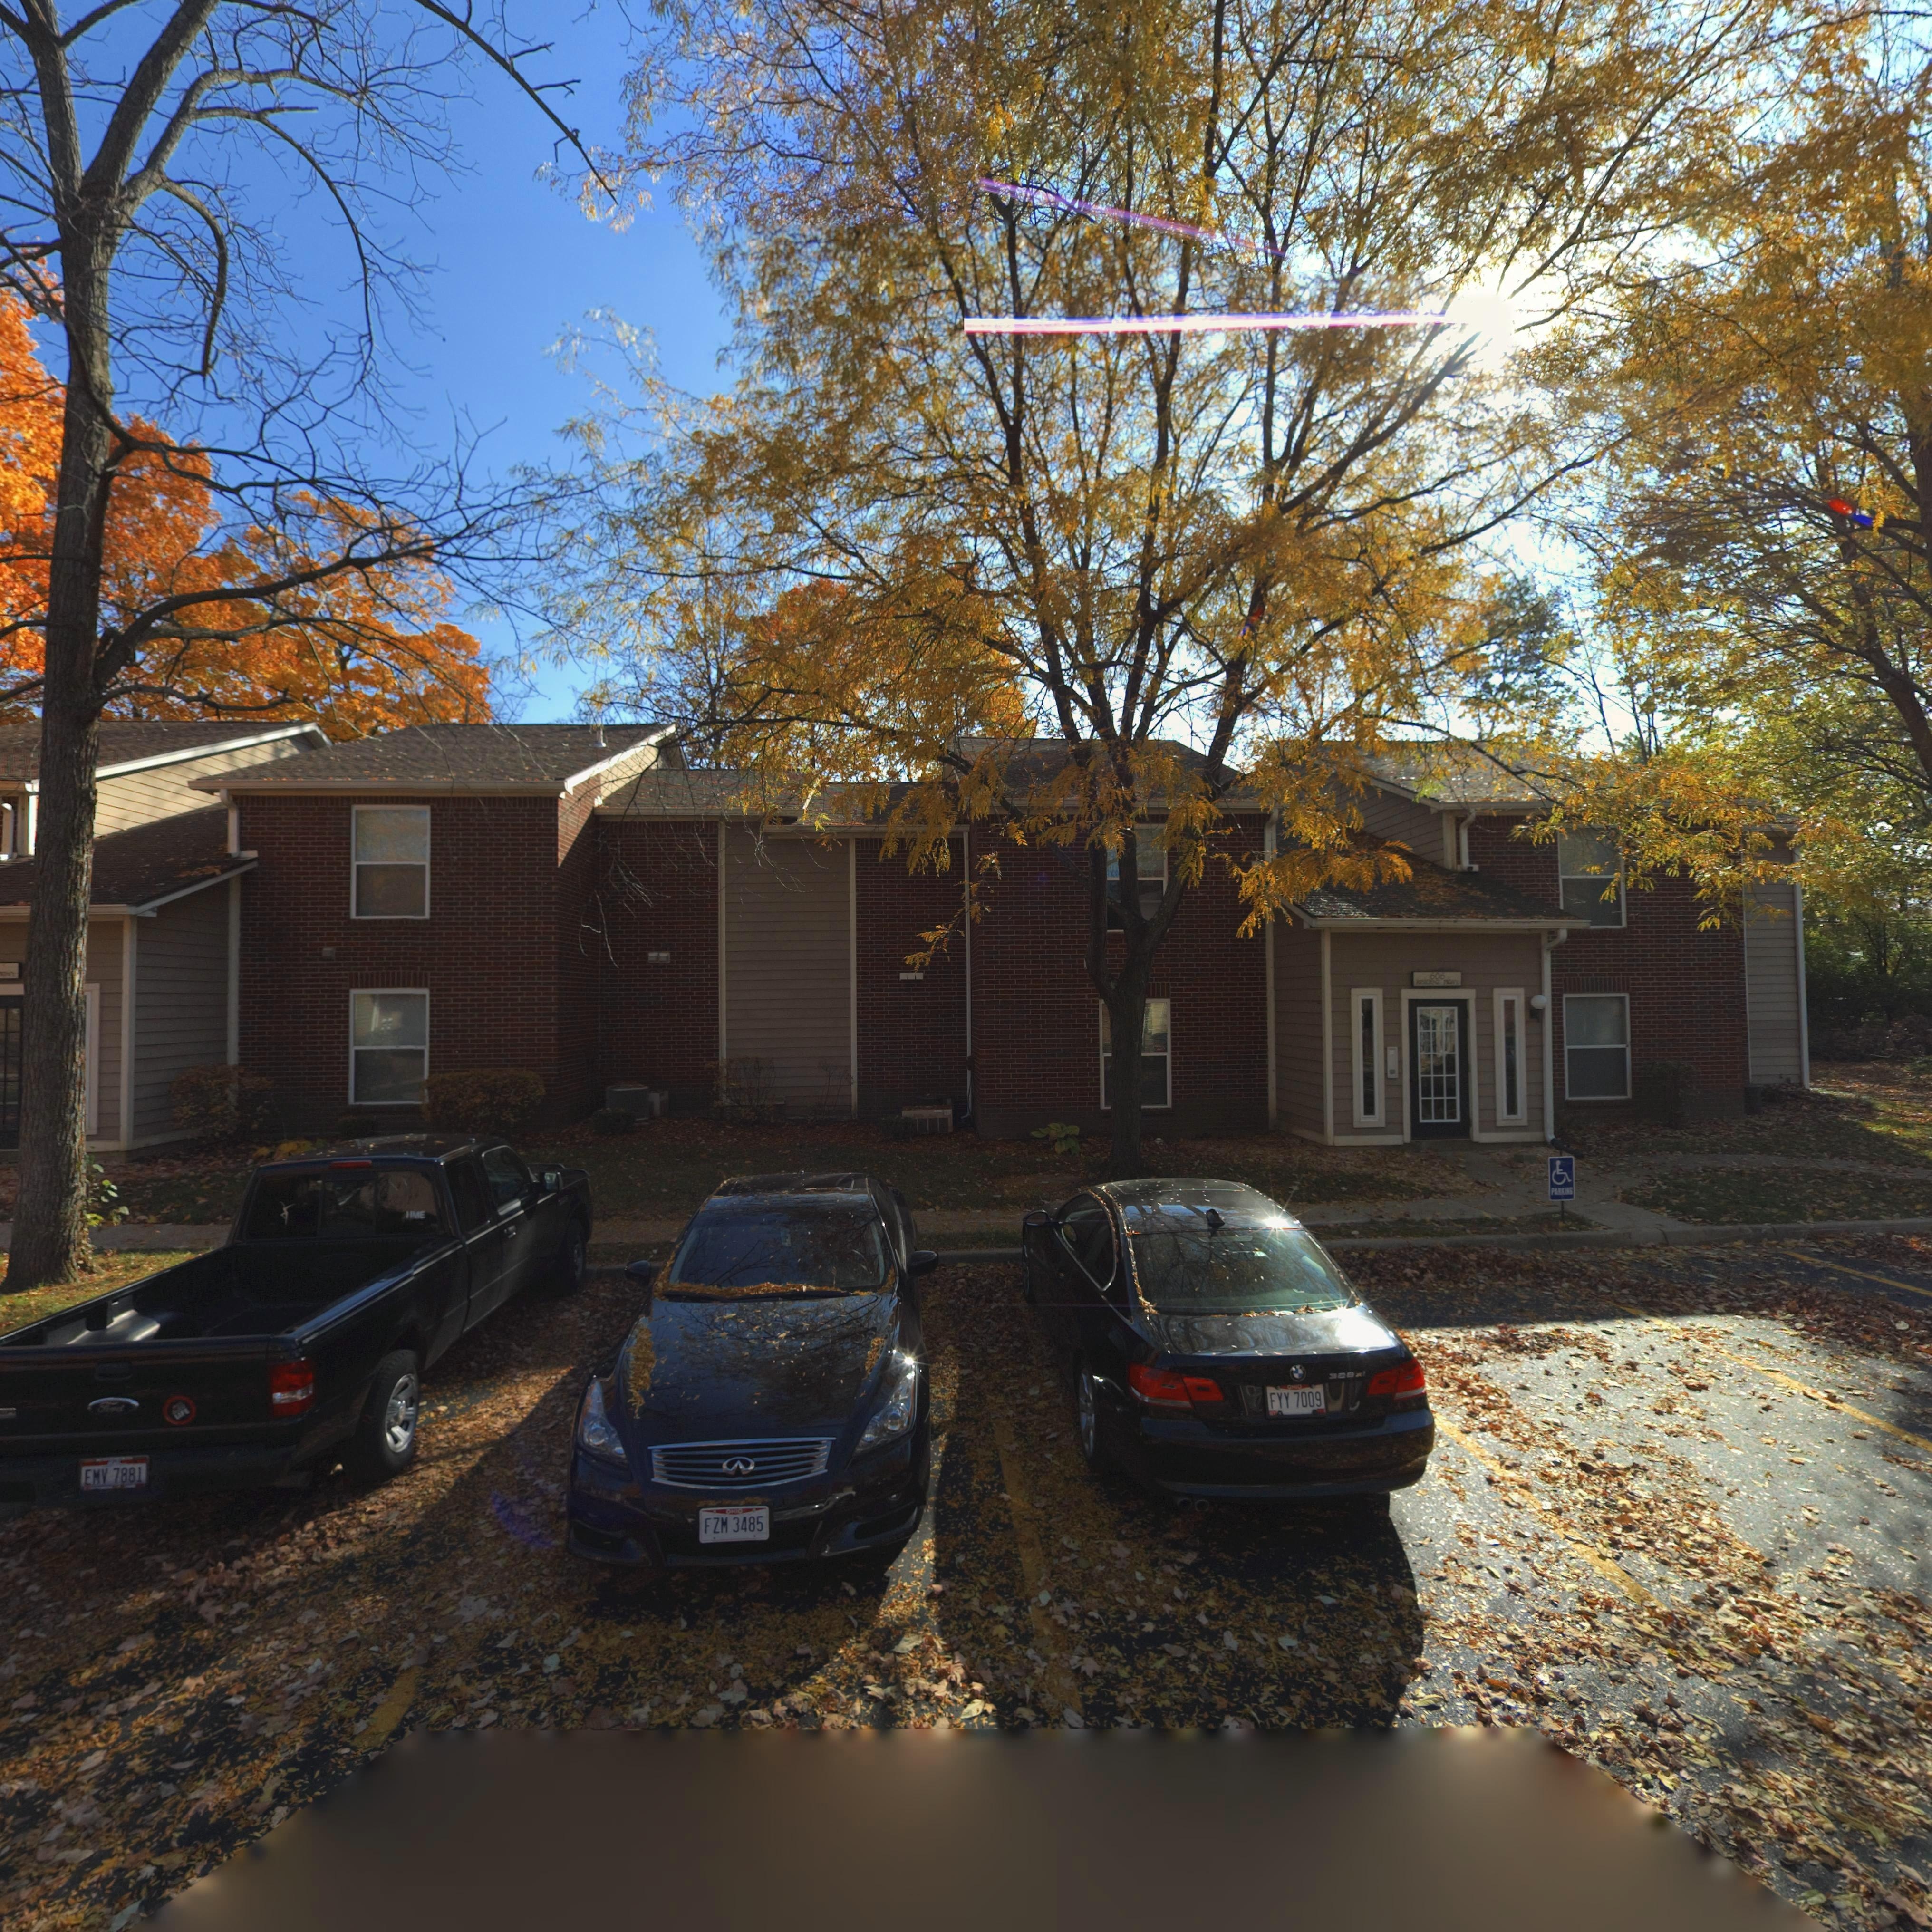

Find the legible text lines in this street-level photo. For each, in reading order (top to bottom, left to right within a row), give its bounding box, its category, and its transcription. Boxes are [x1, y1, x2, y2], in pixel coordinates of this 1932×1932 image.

[1429, 971, 1447, 981] StreetNumber: 606
[1550, 1187, 1555, 1197] None: P
[1328, 1371, 1355, 1381] None: 3**
[1286, 1383, 1303, 1391] None: OHIO
[1268, 1390, 1323, 1410] None: FYY 7009
[84, 1465, 143, 1486] None: EMV 7881
[725, 1507, 743, 1516] None: OHIO
[704, 1513, 765, 1536] None: FZM 3485